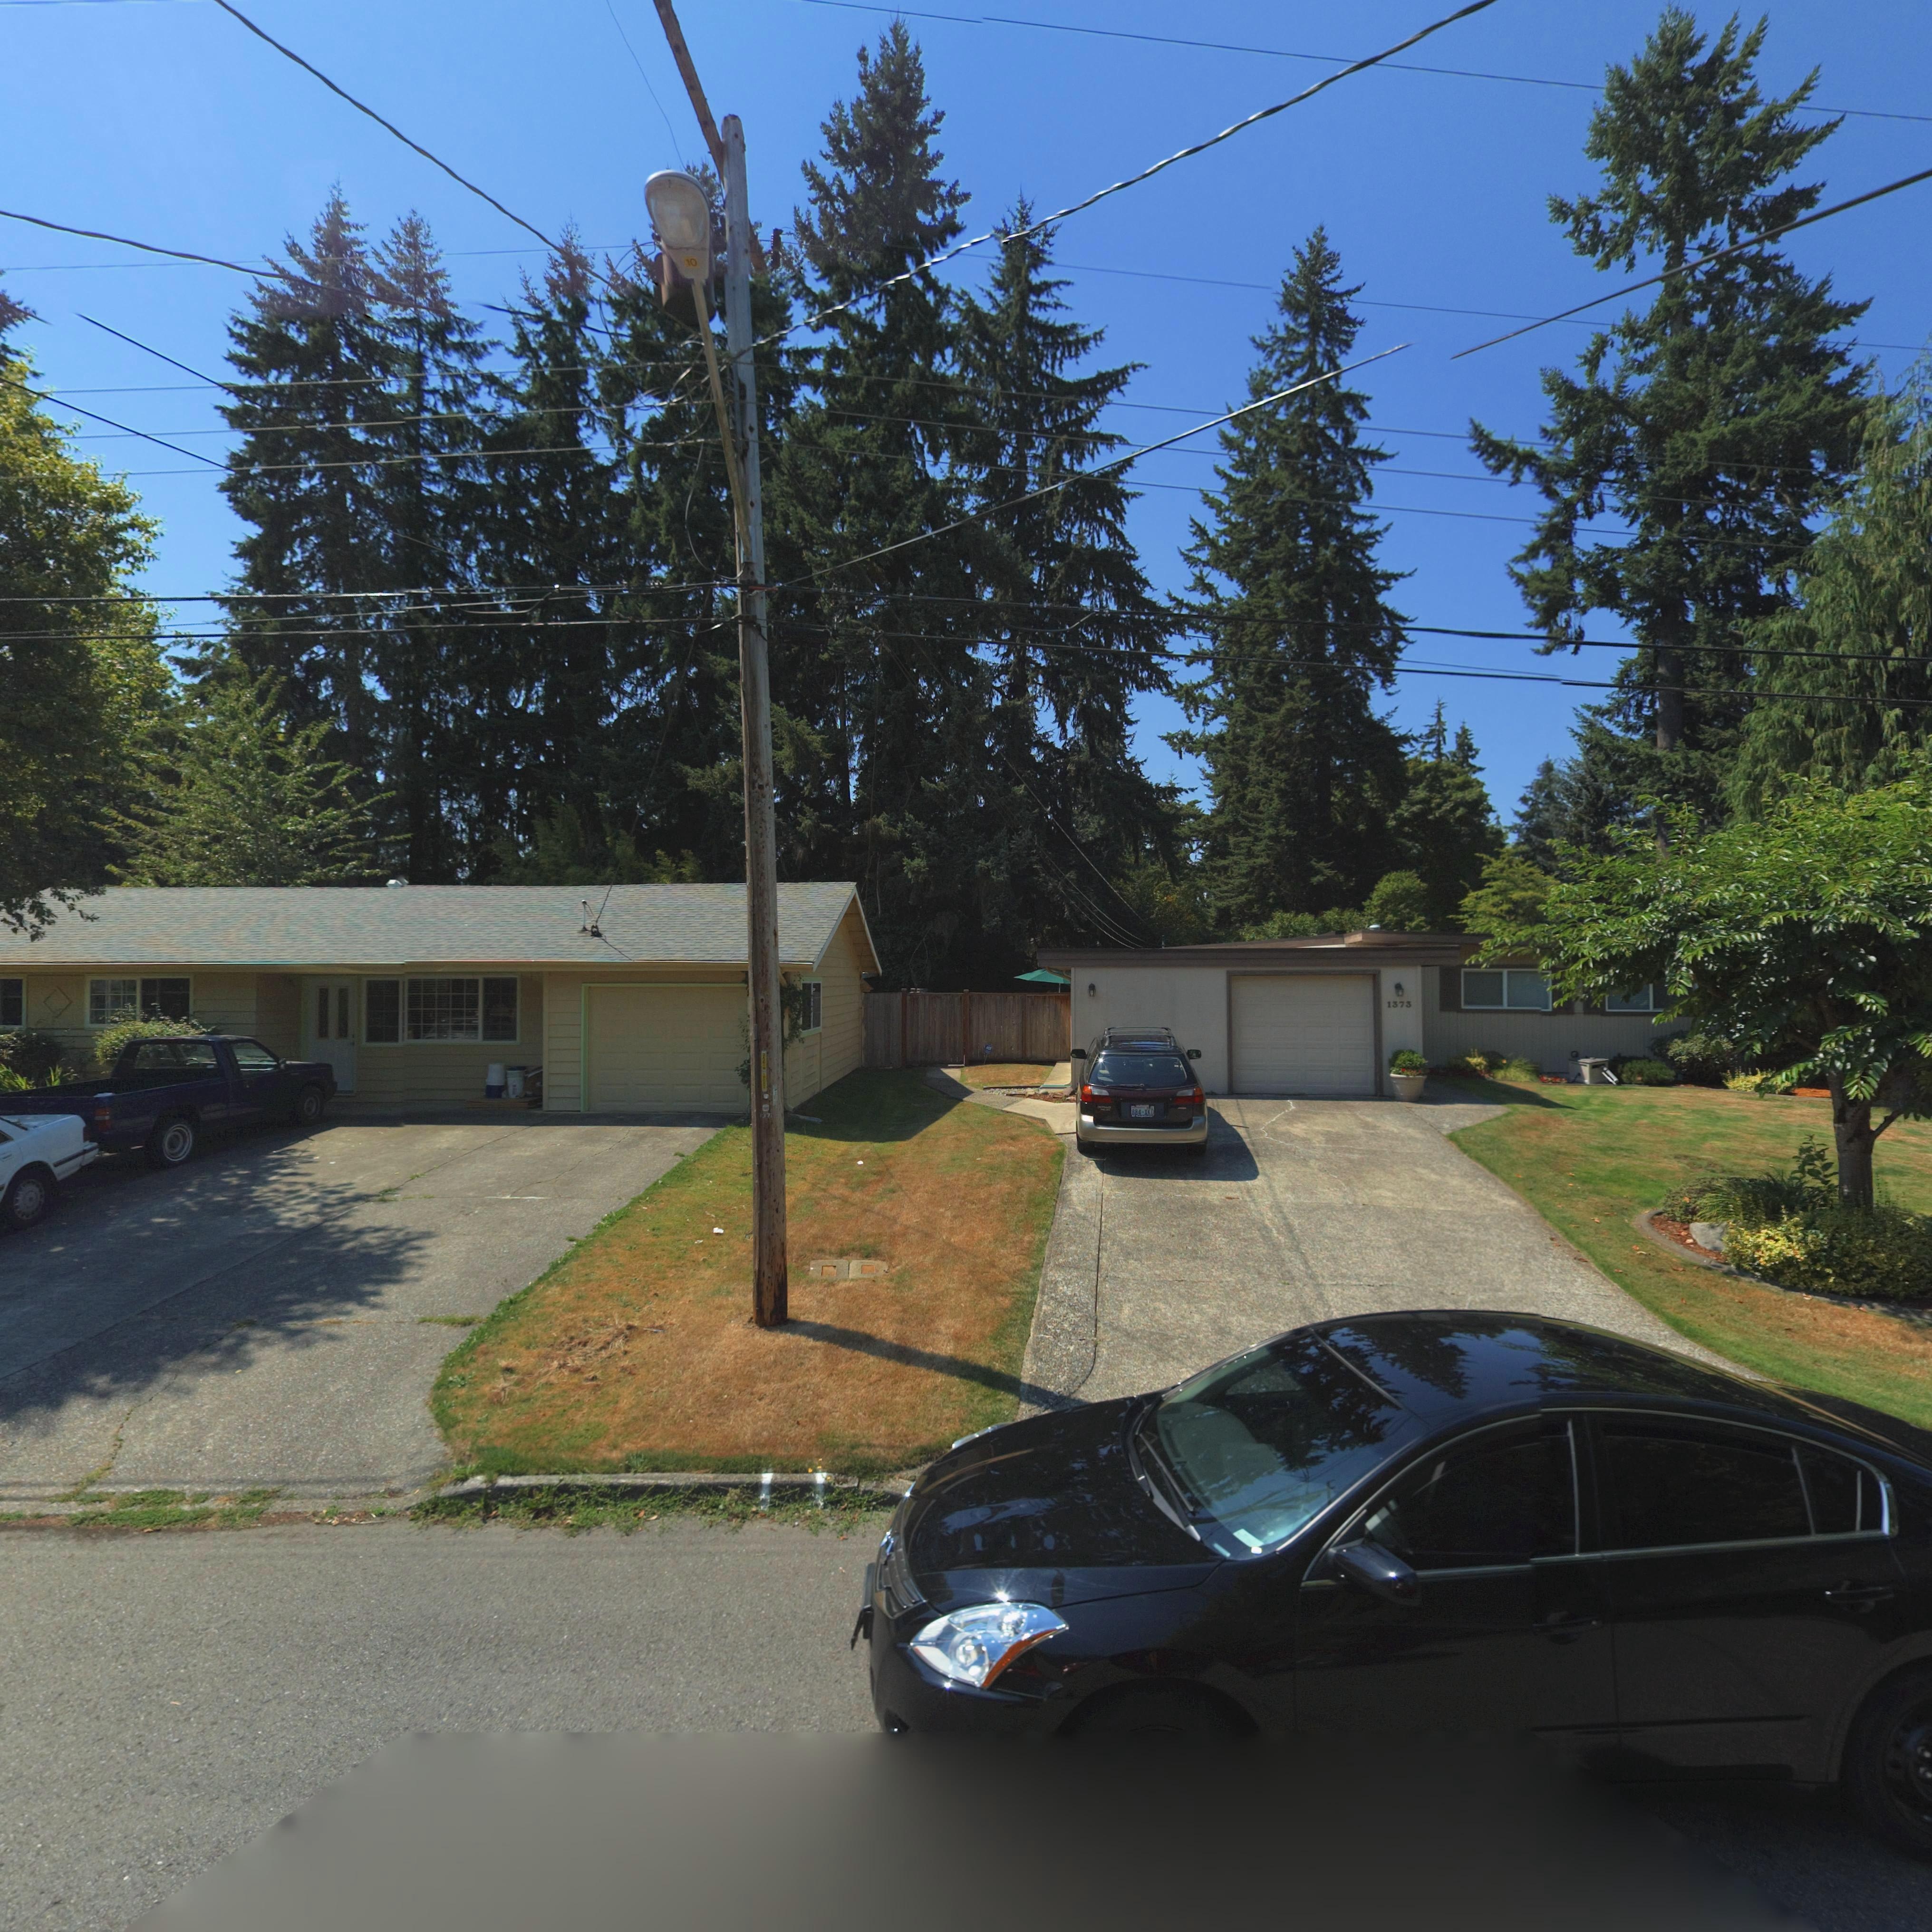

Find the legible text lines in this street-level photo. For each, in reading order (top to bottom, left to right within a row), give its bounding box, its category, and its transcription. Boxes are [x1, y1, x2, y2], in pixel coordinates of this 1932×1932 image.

[1387, 1001, 1411, 1007] StreetNumber: 1373